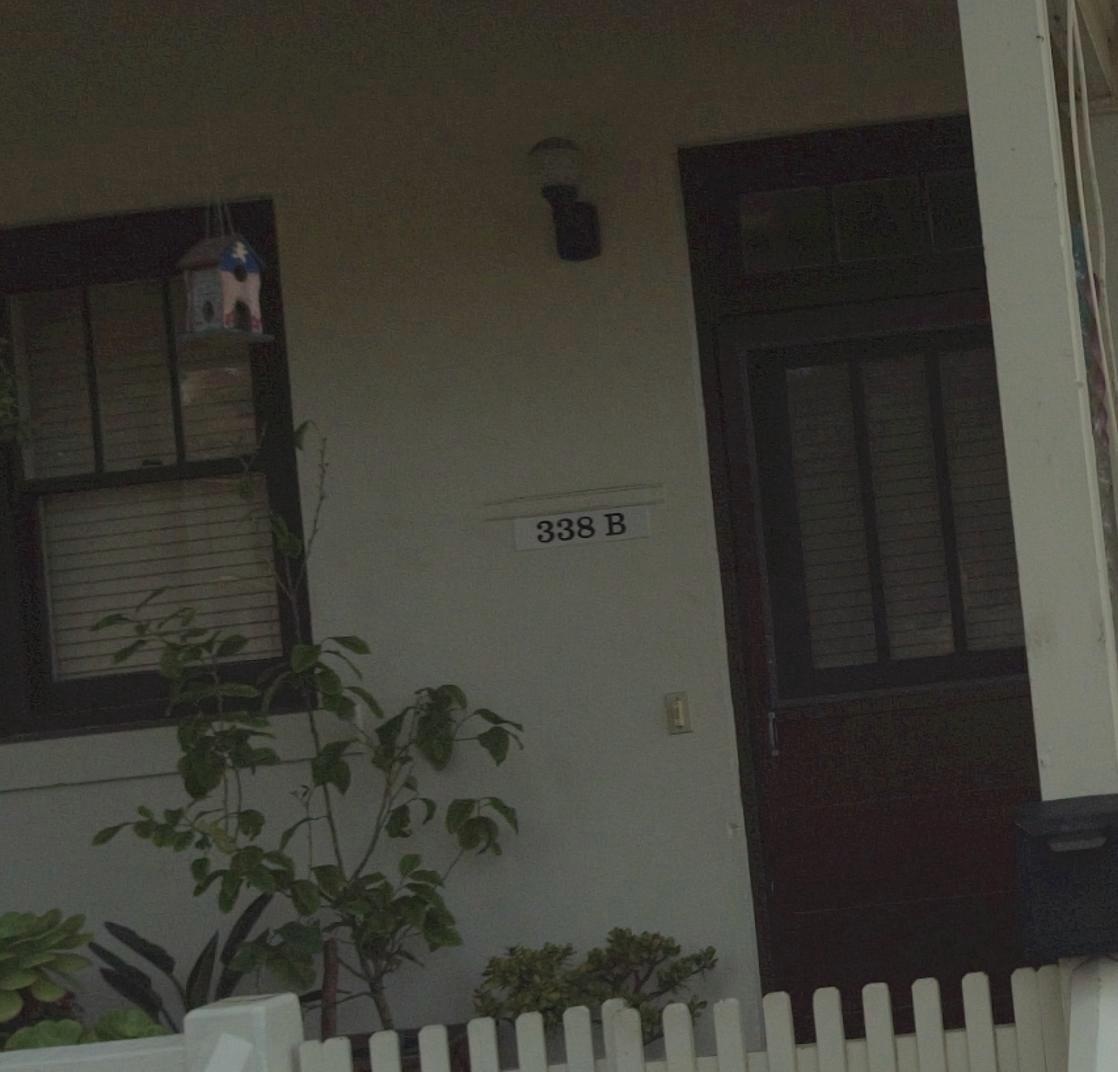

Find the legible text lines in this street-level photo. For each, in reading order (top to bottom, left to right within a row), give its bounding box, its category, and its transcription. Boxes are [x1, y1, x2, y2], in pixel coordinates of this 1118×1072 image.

[535, 510, 629, 545] StreetNumber: 338B